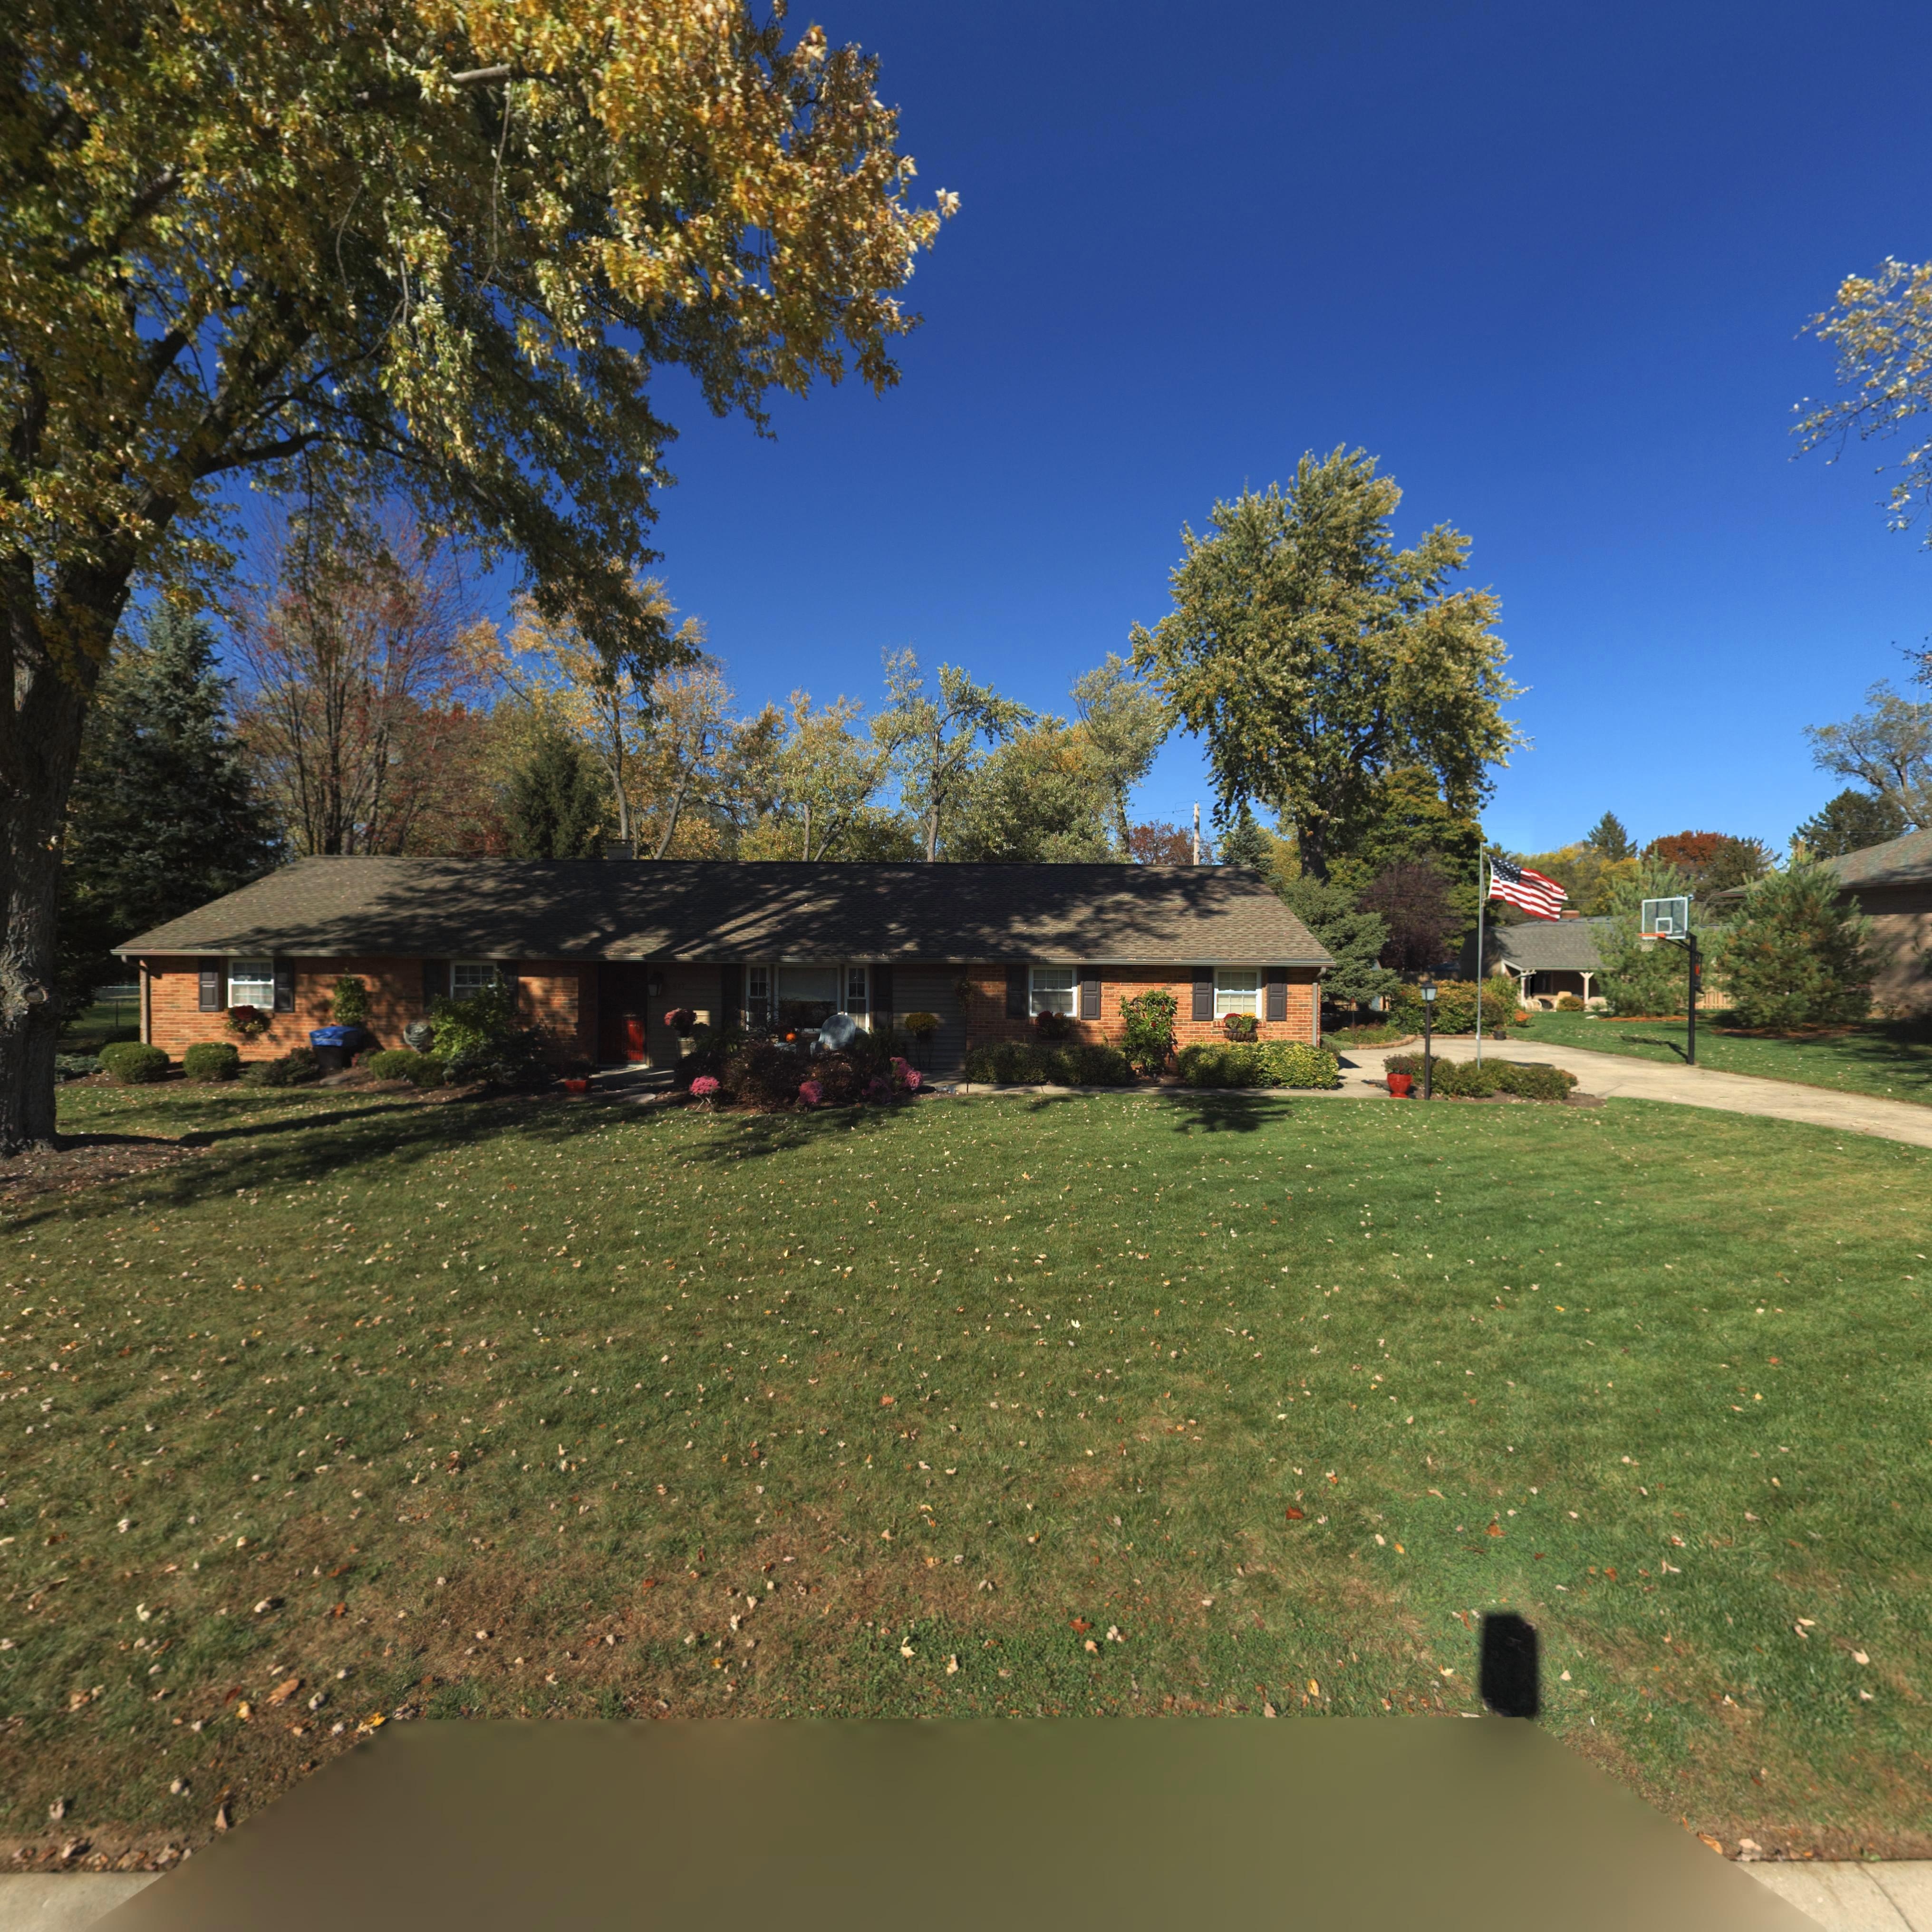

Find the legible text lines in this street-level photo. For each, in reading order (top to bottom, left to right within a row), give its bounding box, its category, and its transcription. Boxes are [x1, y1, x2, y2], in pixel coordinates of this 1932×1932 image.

[671, 983, 687, 990] StreetNumber: 517